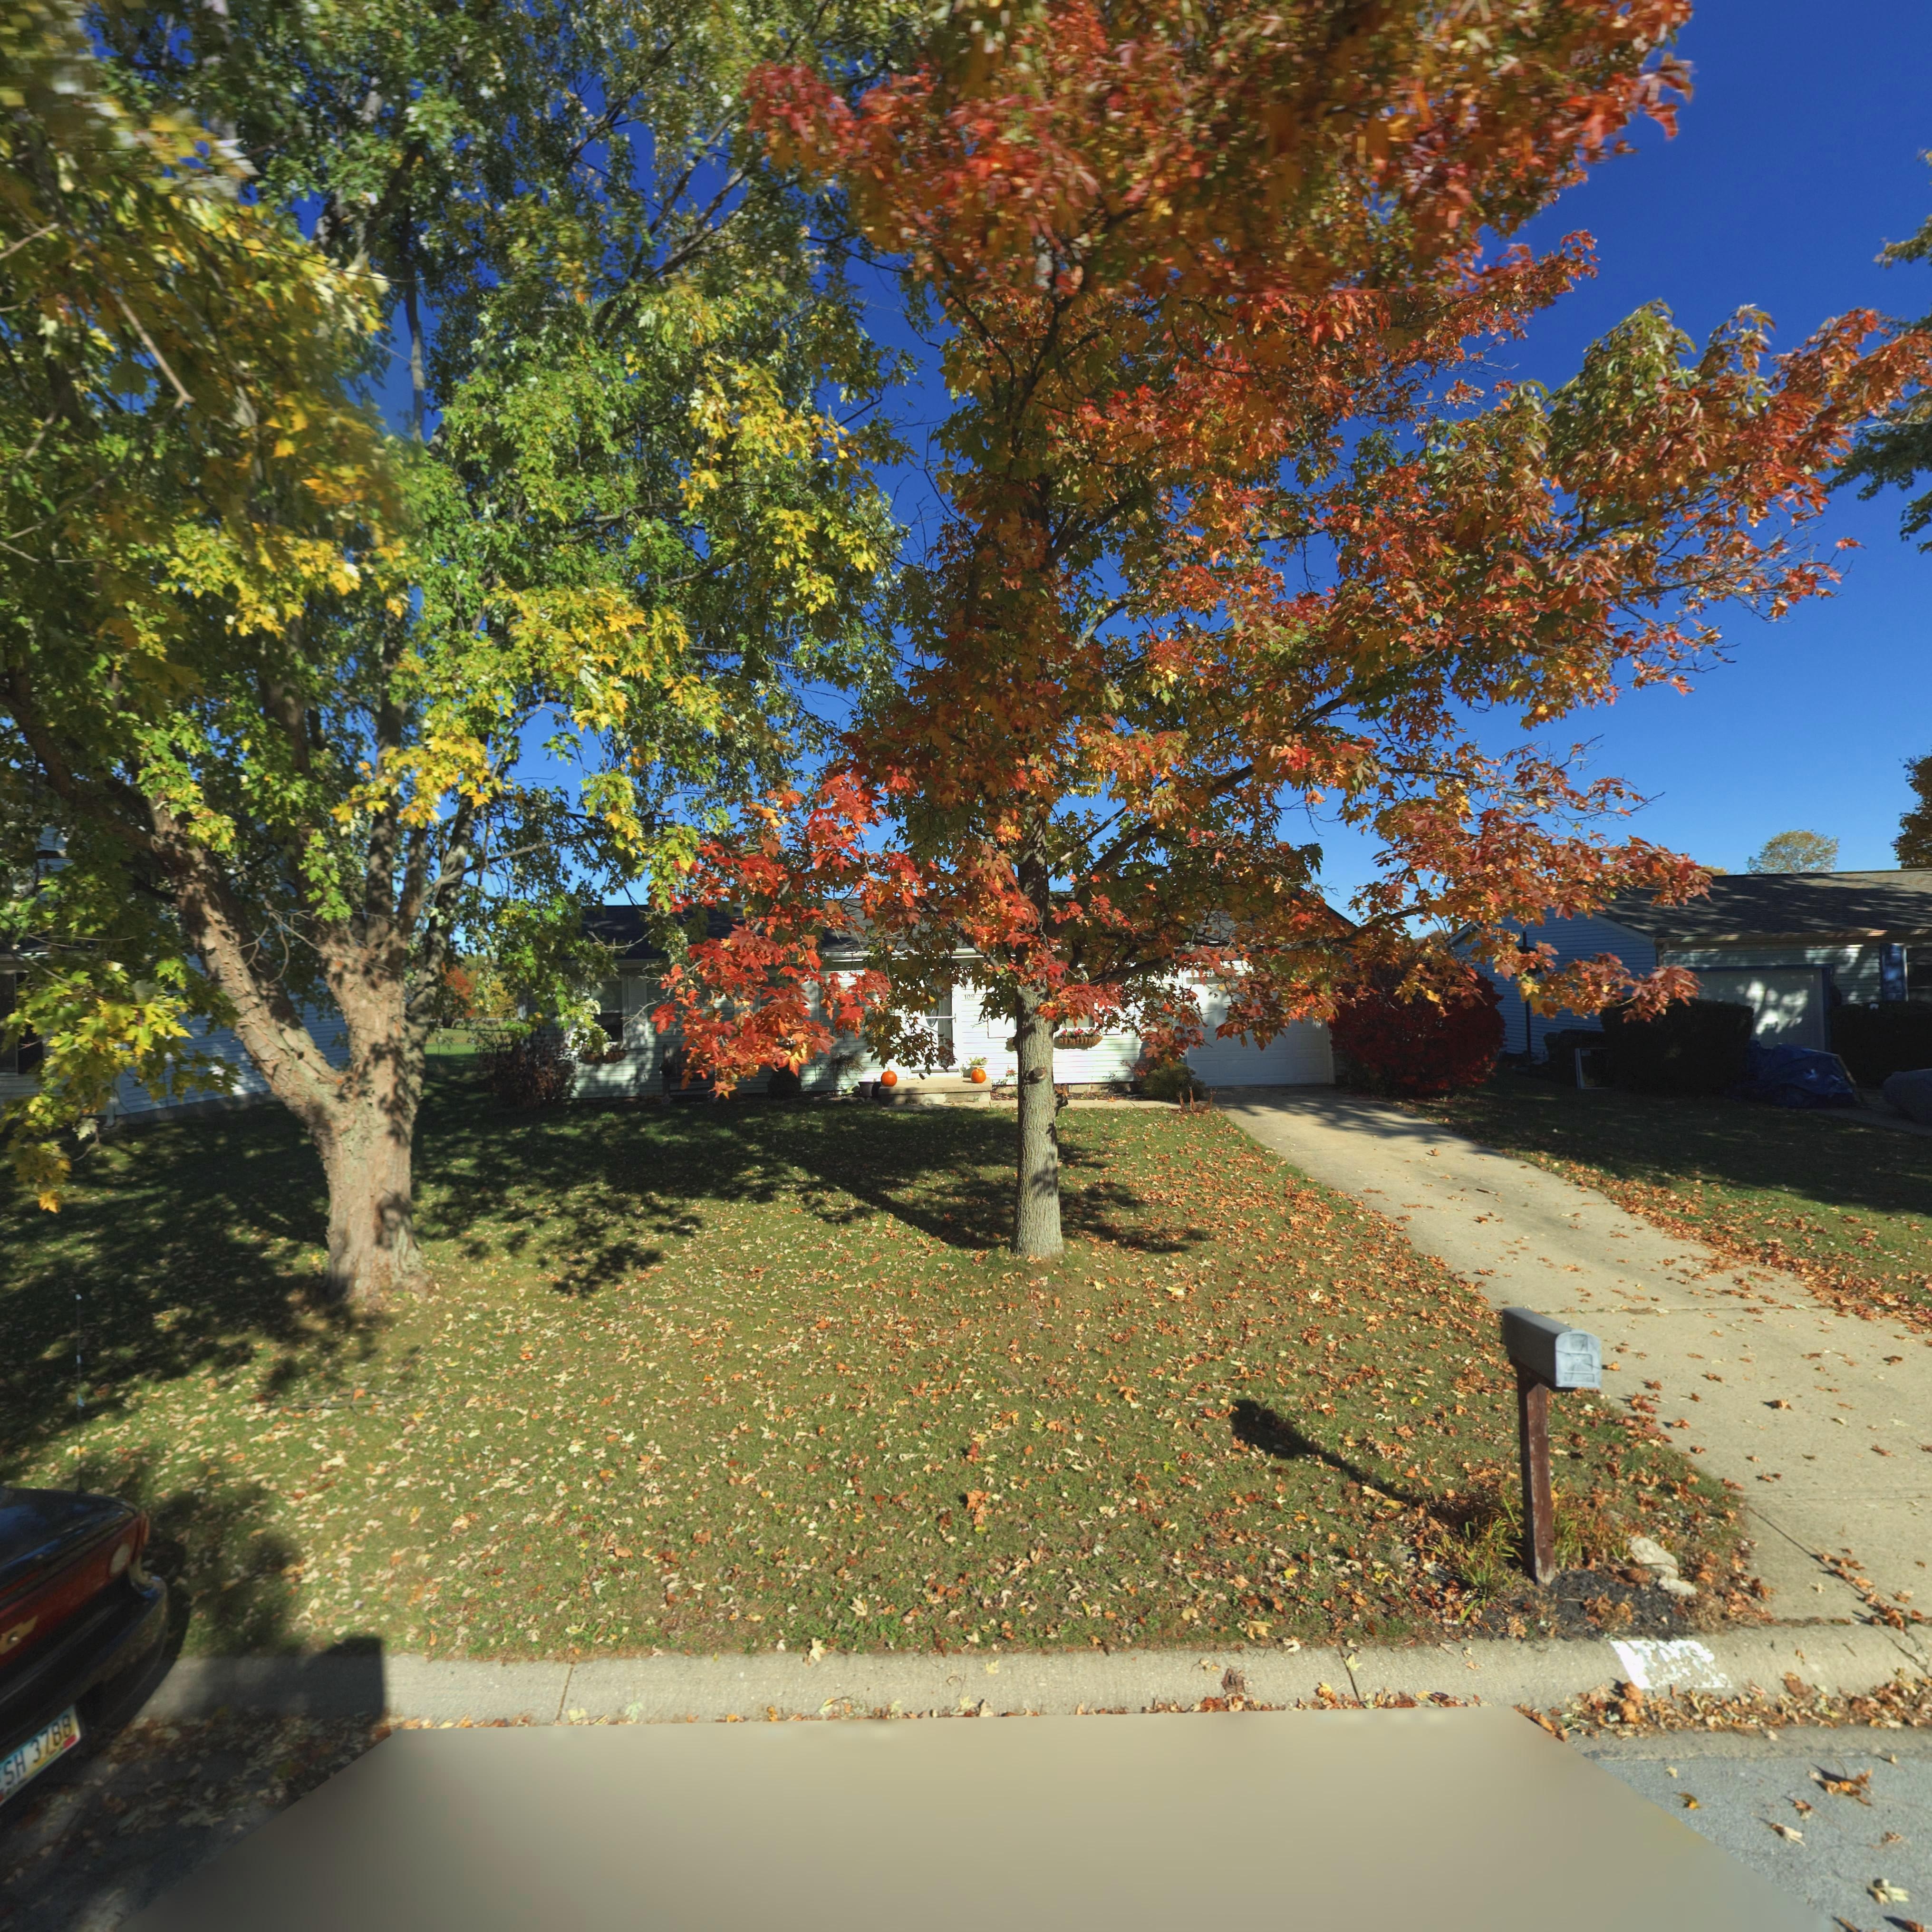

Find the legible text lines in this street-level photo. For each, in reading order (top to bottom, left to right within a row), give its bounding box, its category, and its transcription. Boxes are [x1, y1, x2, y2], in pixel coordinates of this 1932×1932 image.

[964, 993, 975, 1000] StreetNumber: 109